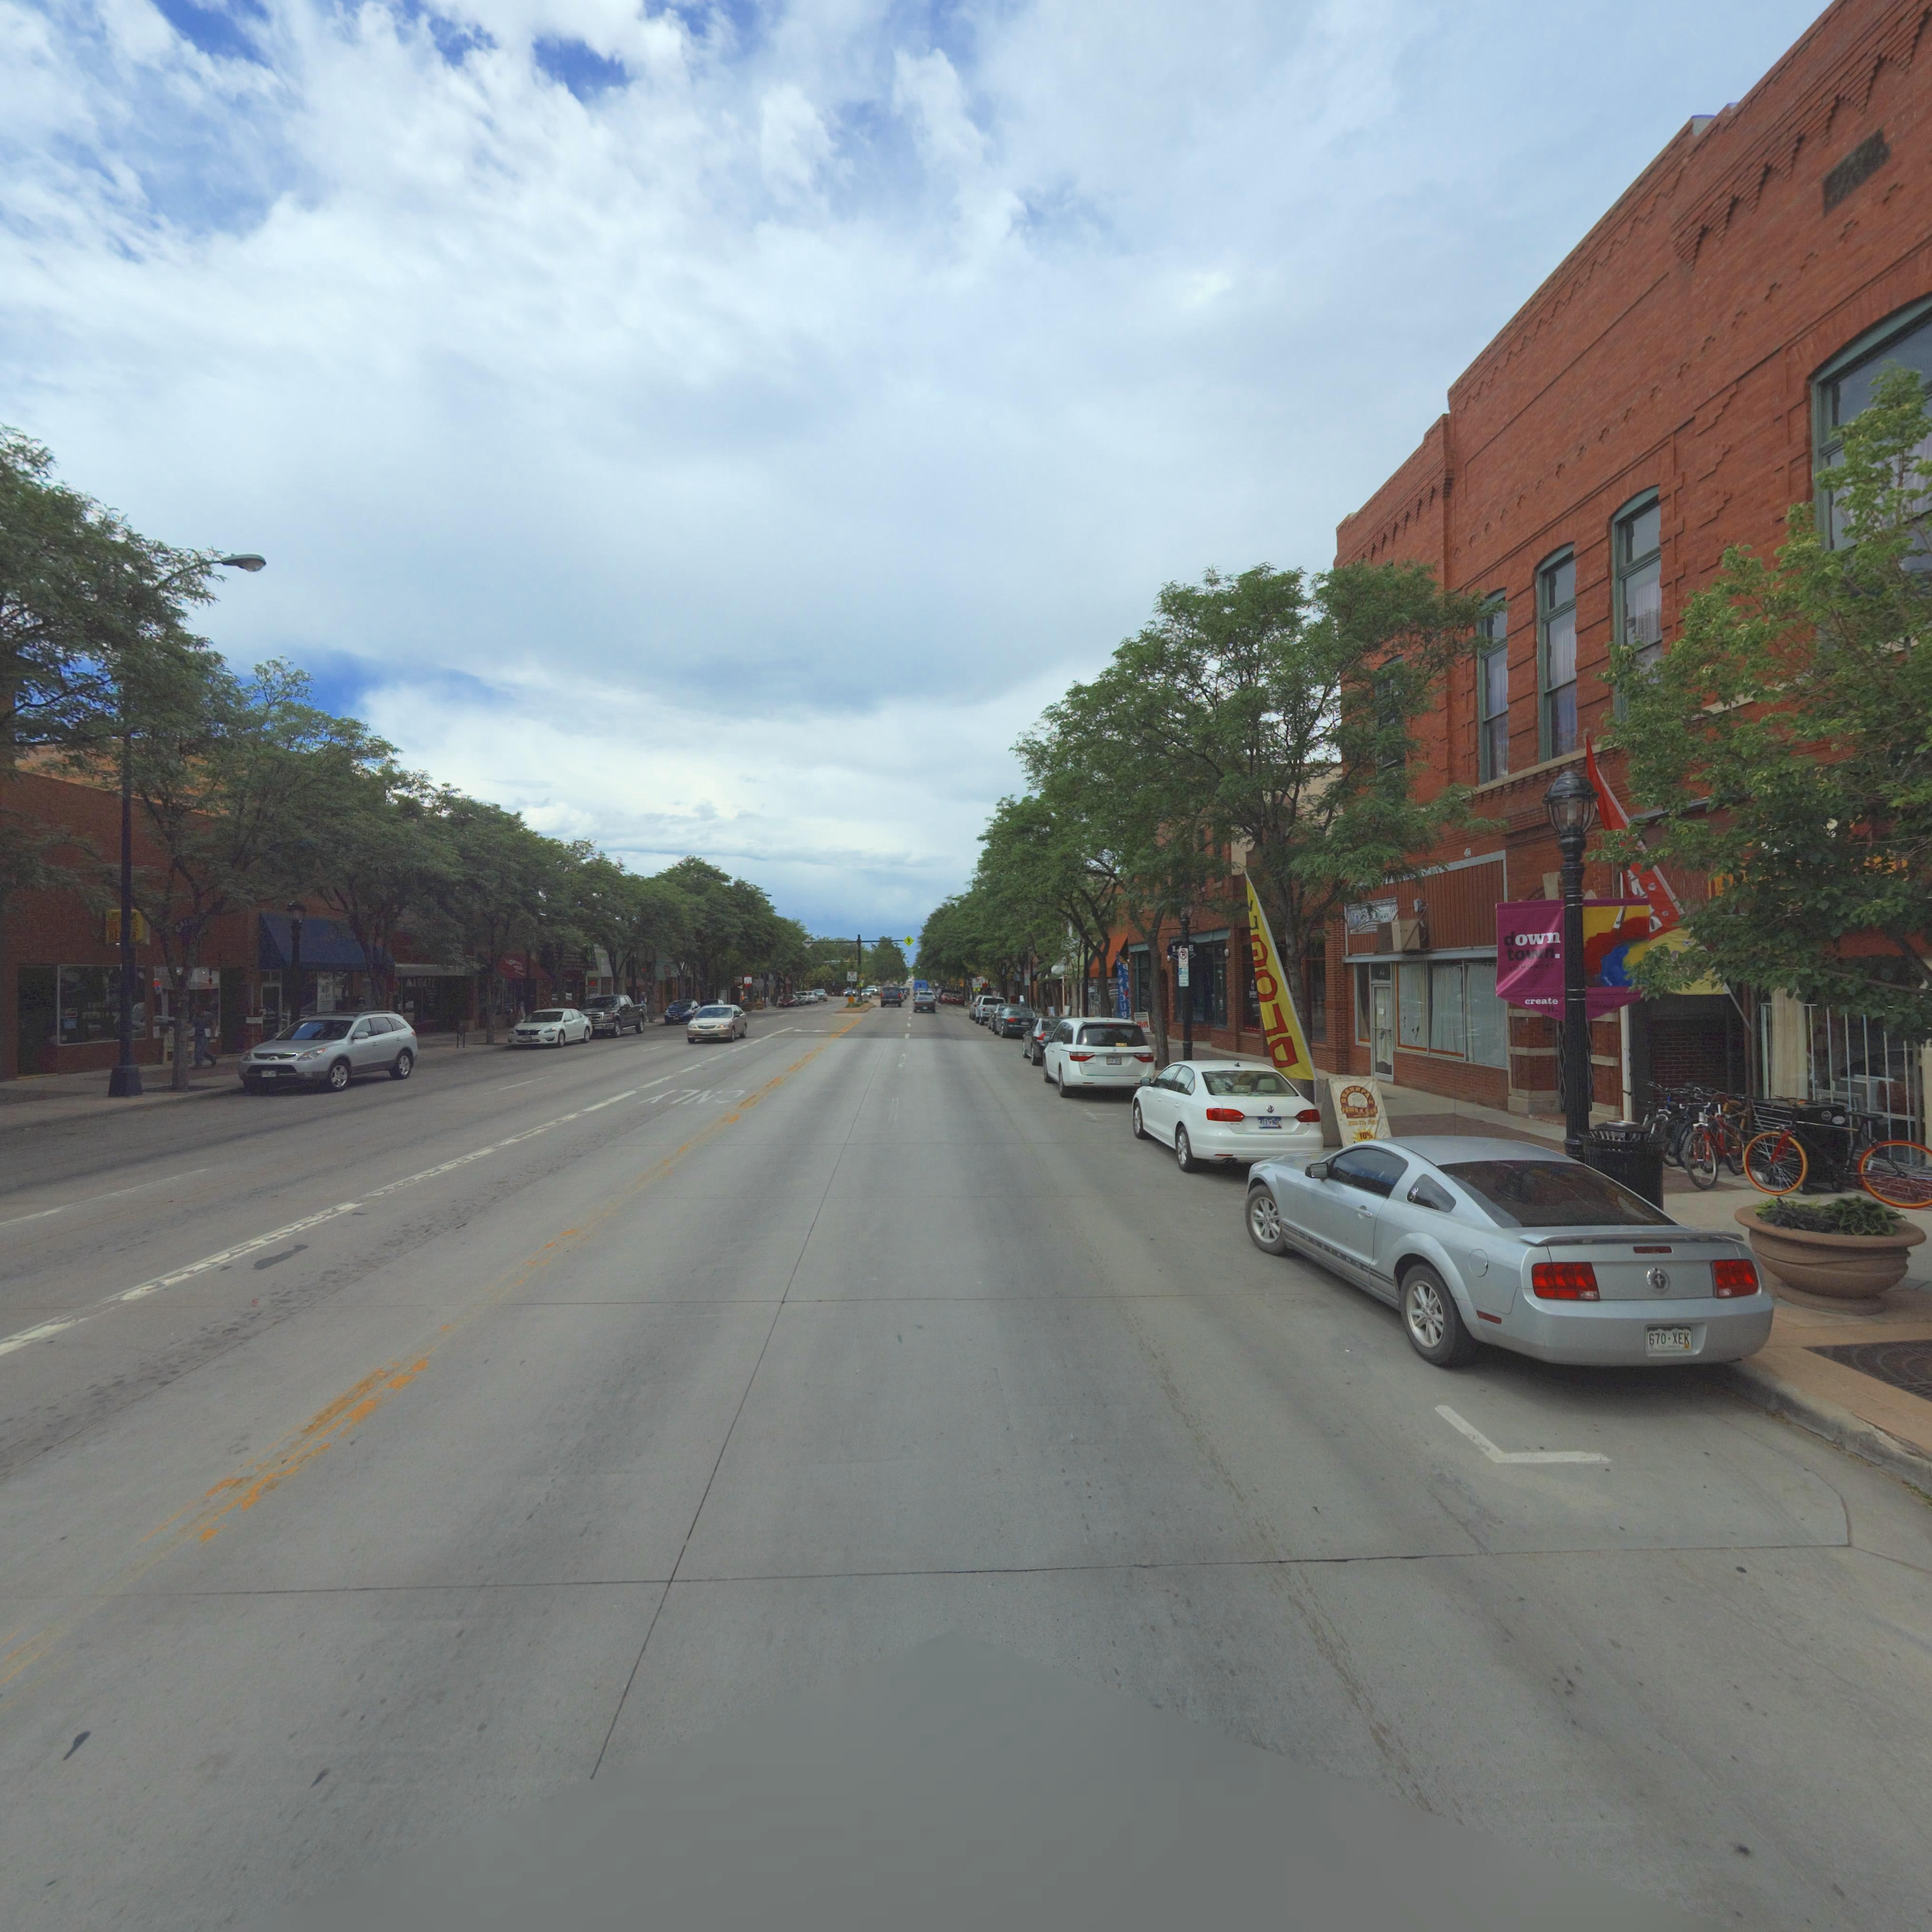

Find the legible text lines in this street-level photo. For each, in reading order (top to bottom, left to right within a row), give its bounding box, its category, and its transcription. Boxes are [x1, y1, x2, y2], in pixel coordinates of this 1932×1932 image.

[1172, 944, 1194, 952] StreetName: I*B
[1341, 1086, 1373, 1104] BusinessName: GRANDPA'S
[1341, 1106, 1378, 1114] BusinessName: PAWN & GUN